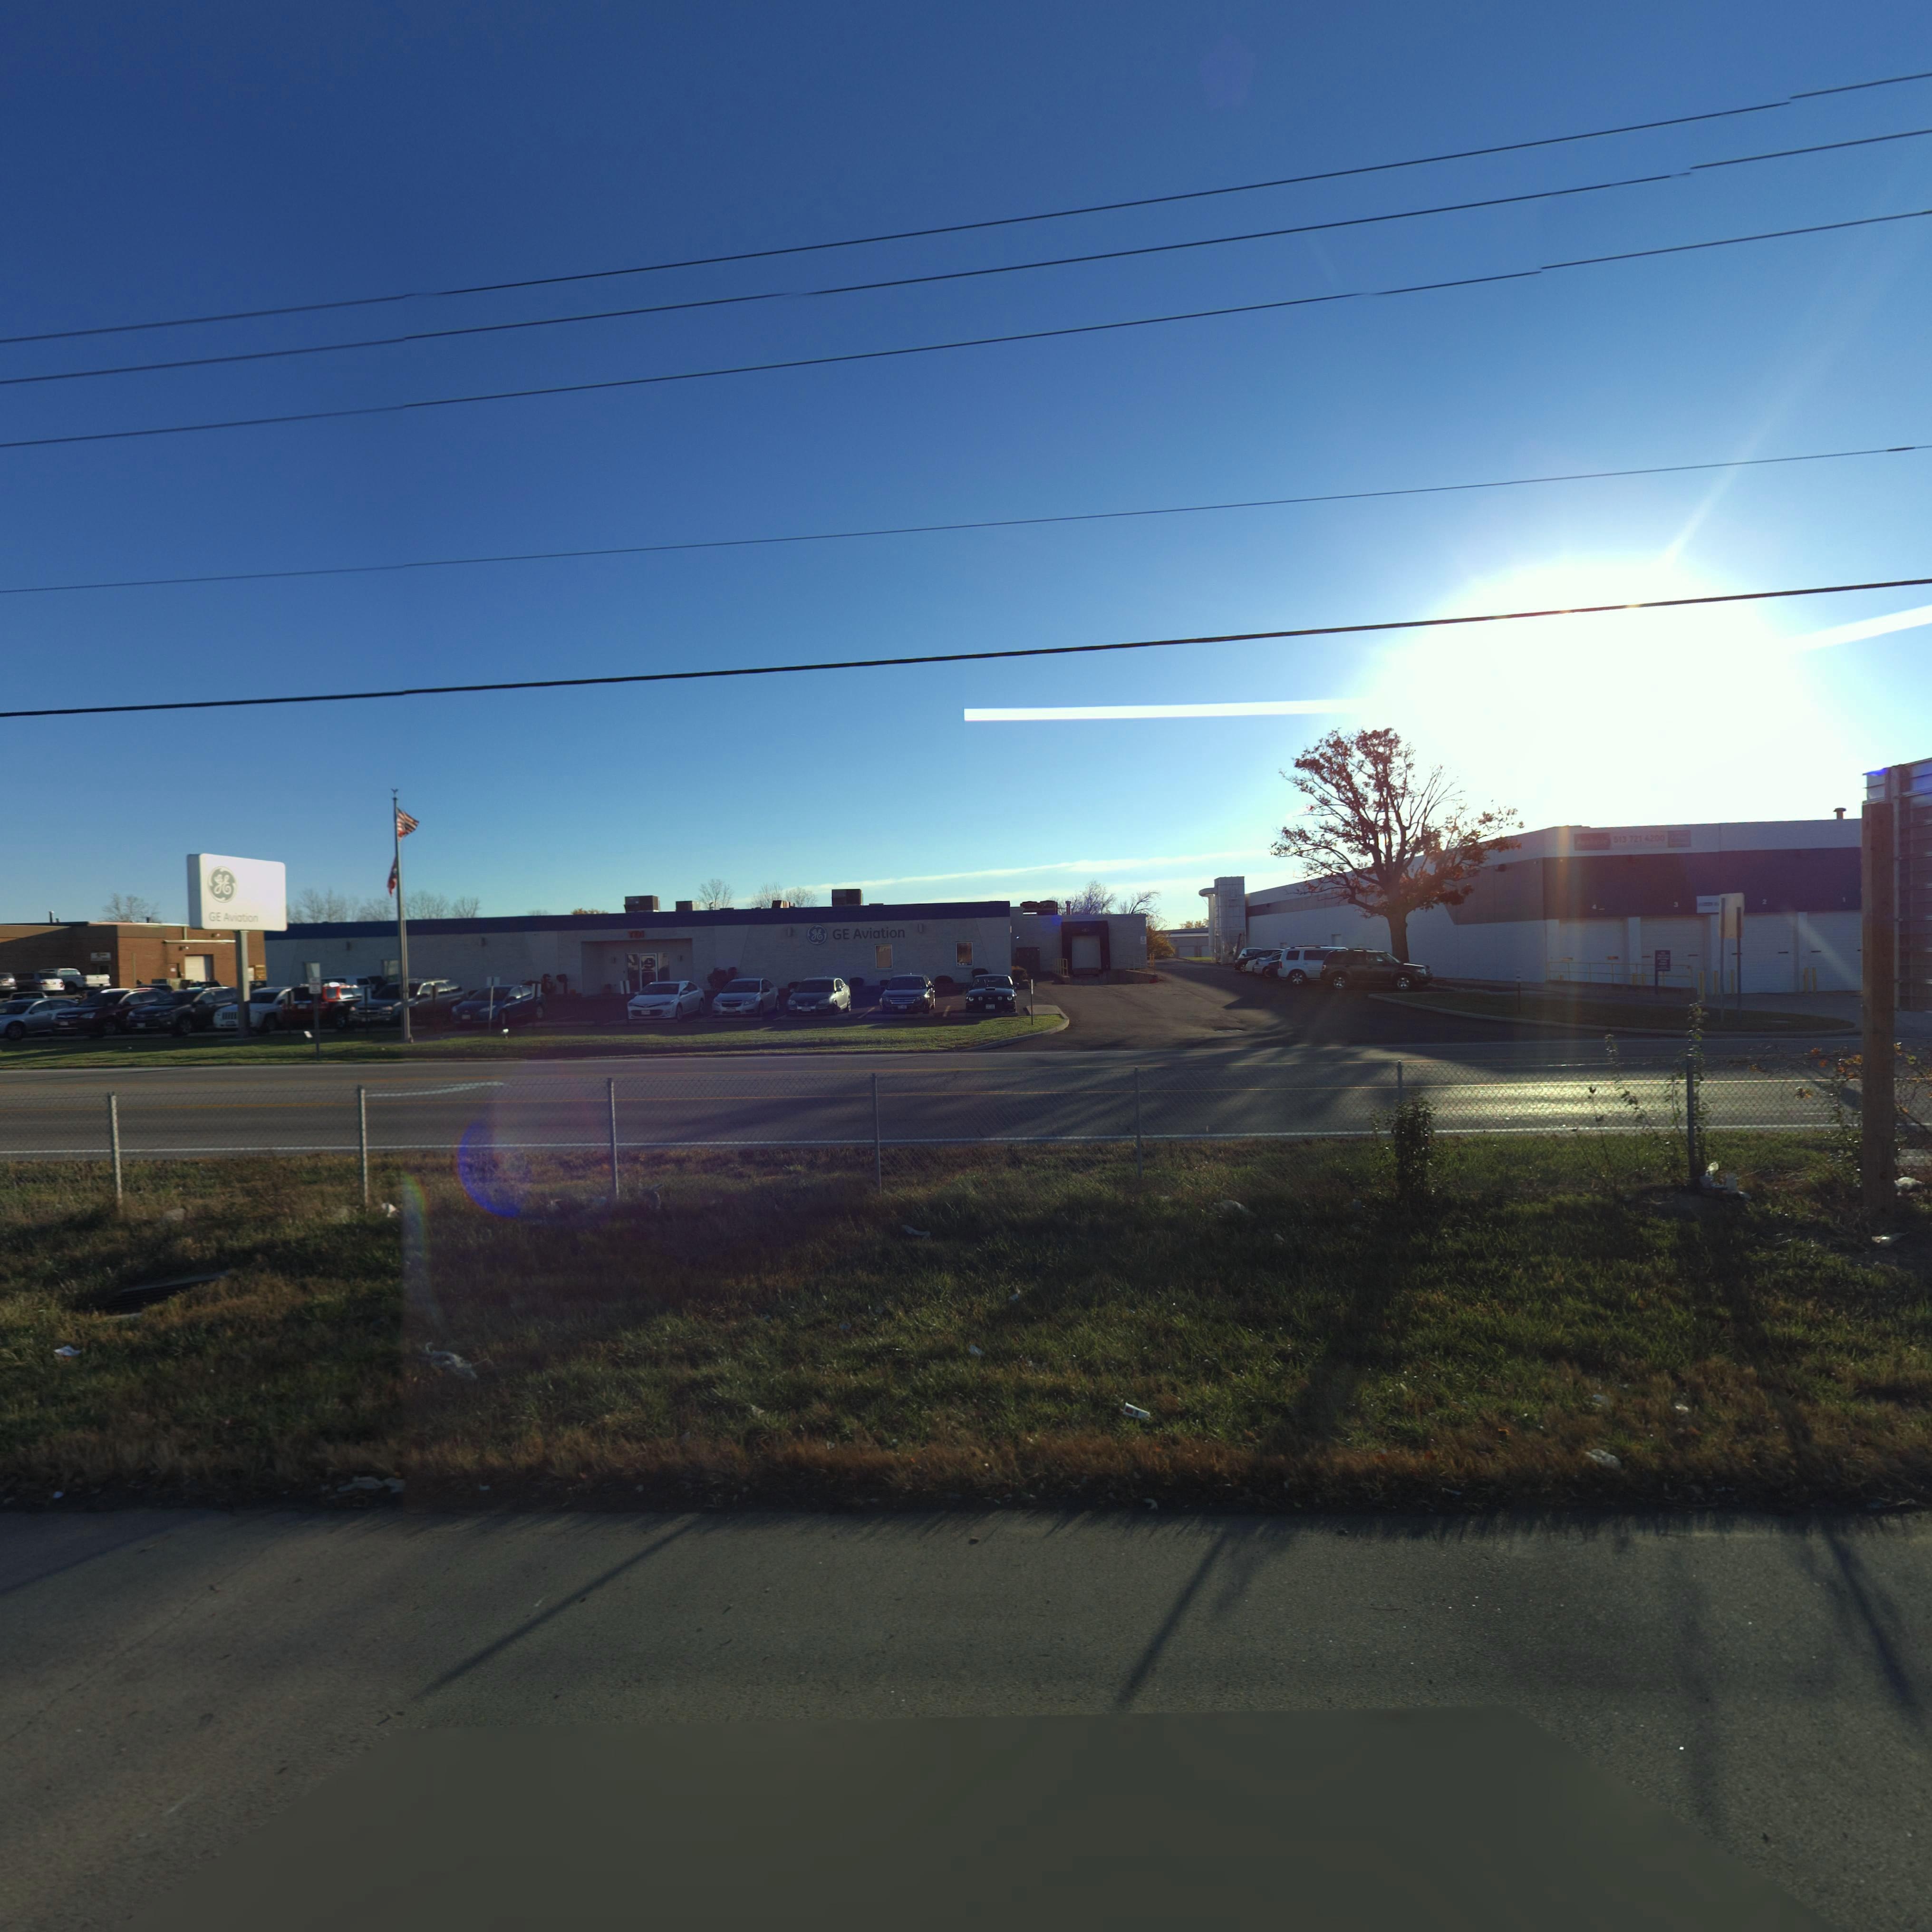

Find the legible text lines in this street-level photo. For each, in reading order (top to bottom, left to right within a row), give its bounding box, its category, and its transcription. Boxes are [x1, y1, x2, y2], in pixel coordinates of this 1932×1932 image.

[213, 873, 231, 896] None: gE
[206, 909, 261, 926] BusinessName: GE Aviation
[626, 929, 645, 939] StreetNumber: 701
[831, 924, 908, 946] BusinessName: GE Aviation